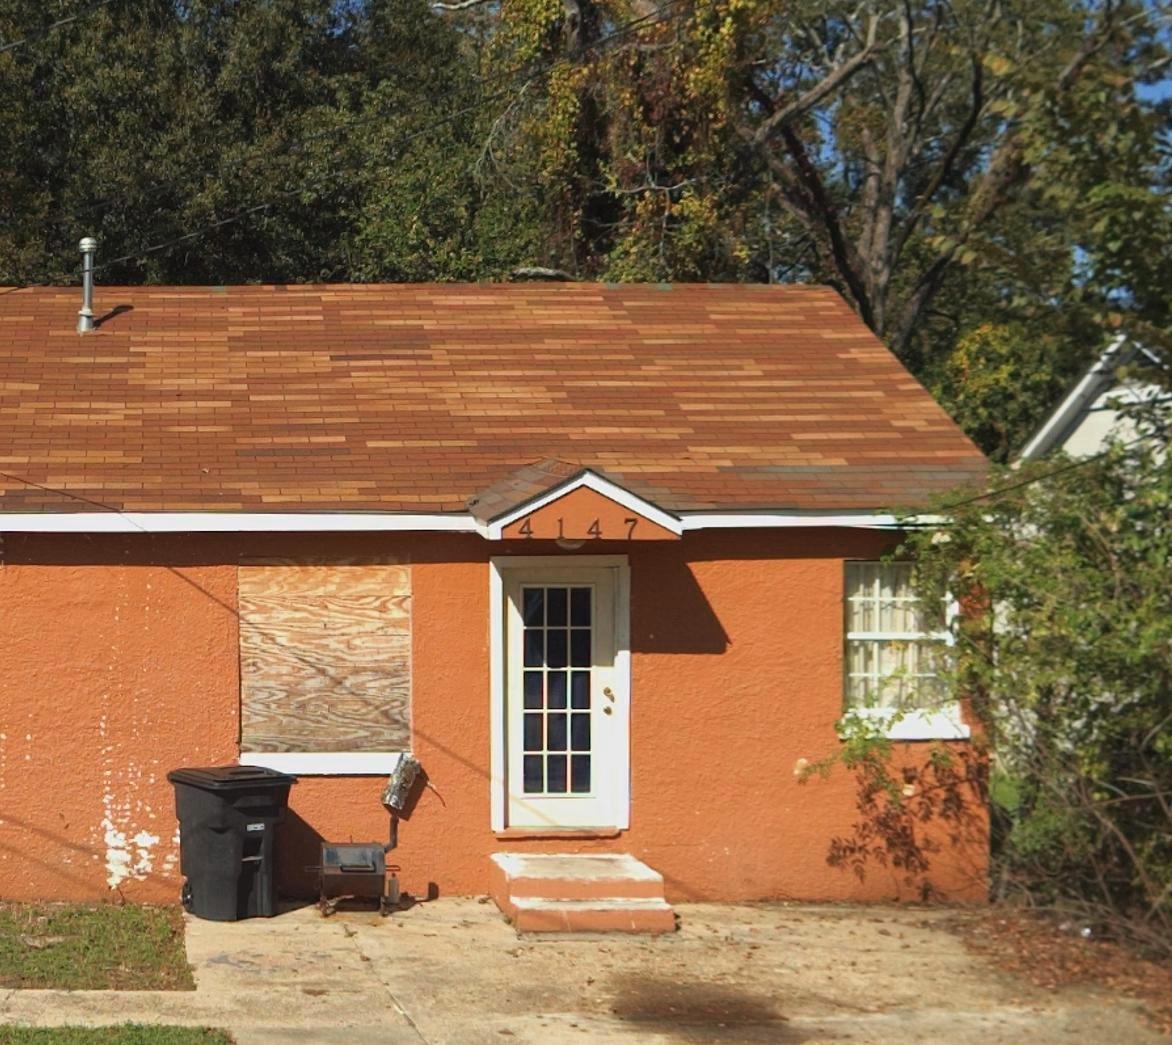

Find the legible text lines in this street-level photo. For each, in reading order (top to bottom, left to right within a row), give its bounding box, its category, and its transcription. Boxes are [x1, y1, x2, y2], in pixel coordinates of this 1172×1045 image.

[517, 516, 639, 541] StreetNumber: 4147